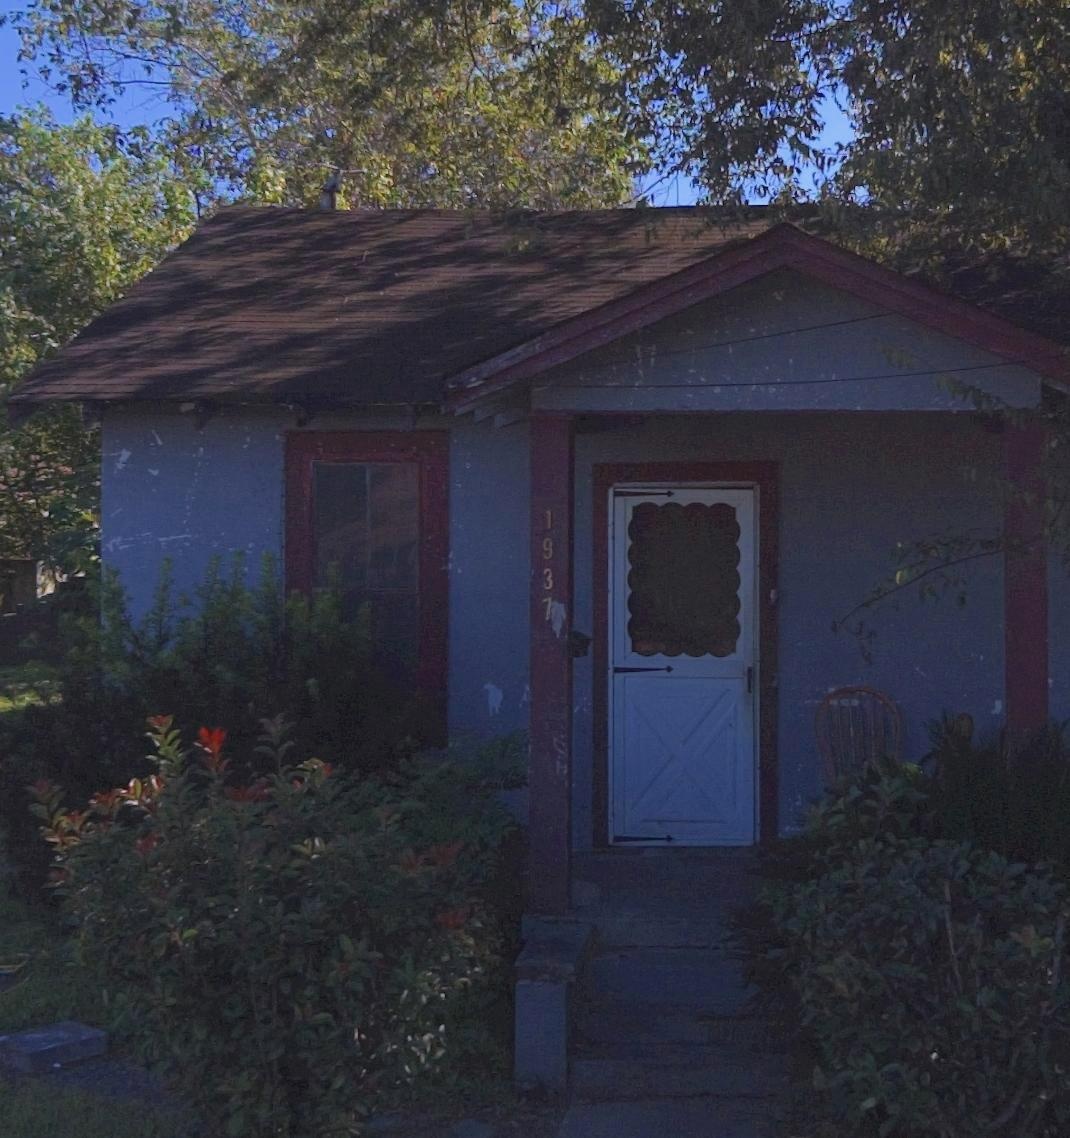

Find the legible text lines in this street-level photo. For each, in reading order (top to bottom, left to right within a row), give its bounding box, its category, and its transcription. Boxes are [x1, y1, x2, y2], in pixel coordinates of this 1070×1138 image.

[540, 505, 554, 627] StreetNumber: 1937